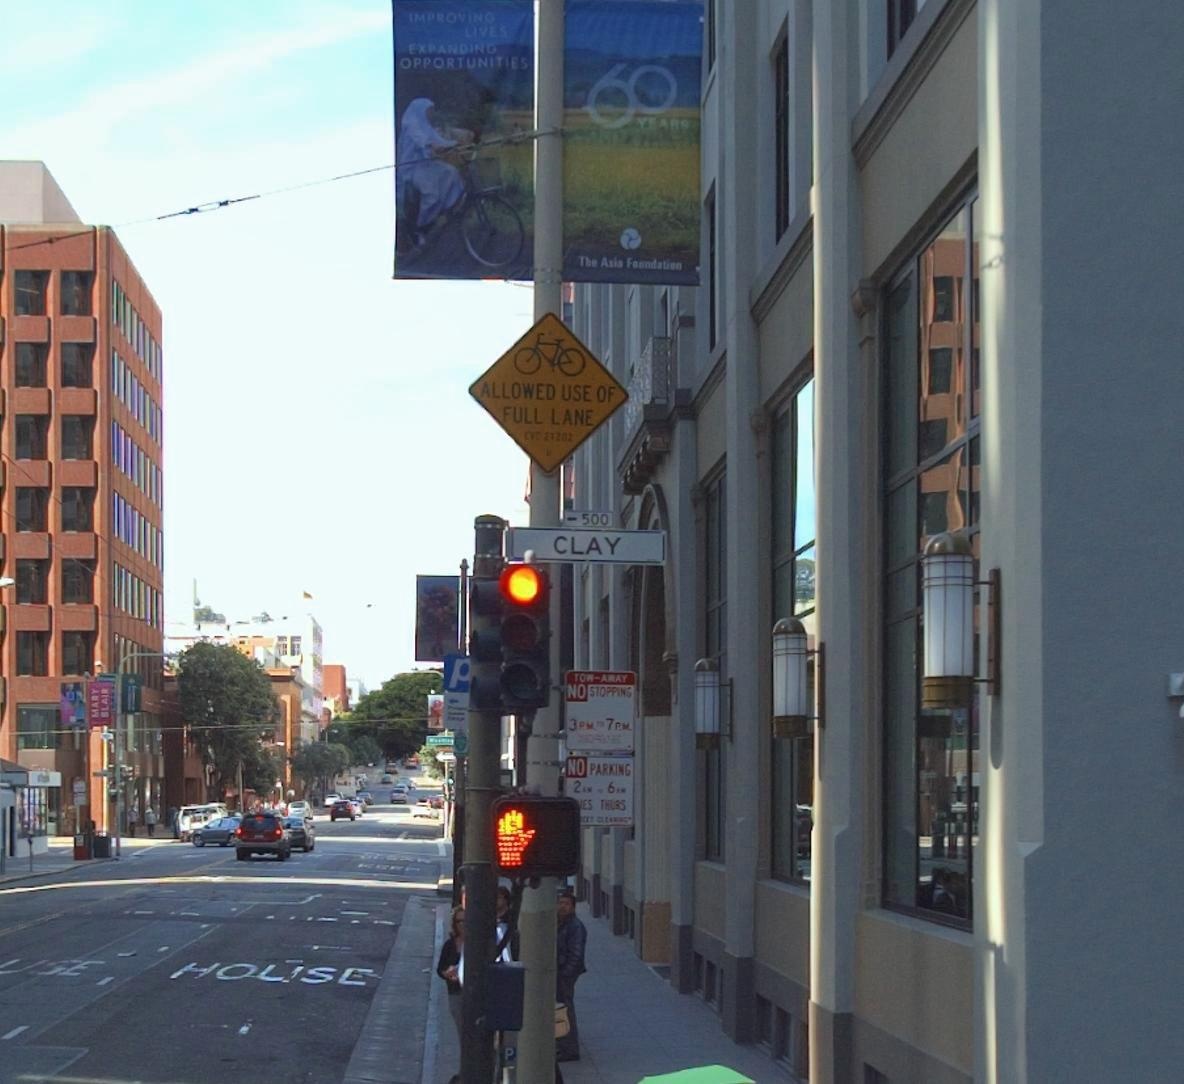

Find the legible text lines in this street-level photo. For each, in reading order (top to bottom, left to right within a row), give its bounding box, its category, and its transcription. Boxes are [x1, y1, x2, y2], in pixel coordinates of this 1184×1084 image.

[407, 9, 498, 26] None: IMPROVING
[462, 23, 510, 40] None: LIVES
[406, 41, 501, 58] None: EXPANDING
[396, 53, 531, 73] None: OPPORTUNITIES
[582, 57, 684, 136] None: 60
[634, 115, 692, 133] None: YEARS
[575, 253, 685, 274] None: The Asia F**dation
[477, 378, 619, 406] None: ALLOWED OF
[500, 403, 597, 429] None: FULL LANE
[564, 511, 610, 528] StreetNumberRange: <-500
[551, 533, 624, 558] StreetName: CLAY
[572, 671, 631, 685] None: TOW-AWAY
[566, 682, 635, 702] None: NO STOPPING
[88, 686, 102, 720] None: MARY
[99, 686, 111, 720] None: BLAIR
[565, 715, 635, 735] None: 3 P.M. TO 7 P.M.
[565, 756, 634, 779] None: NO PARKING
[571, 778, 583, 796] None: 2
[605, 778, 618, 797] None: 6
[581, 797, 629, 813] None: ES THURS
[24, 959, 110, 979] None: SE
[166, 959, 377, 989] None: HOUSE